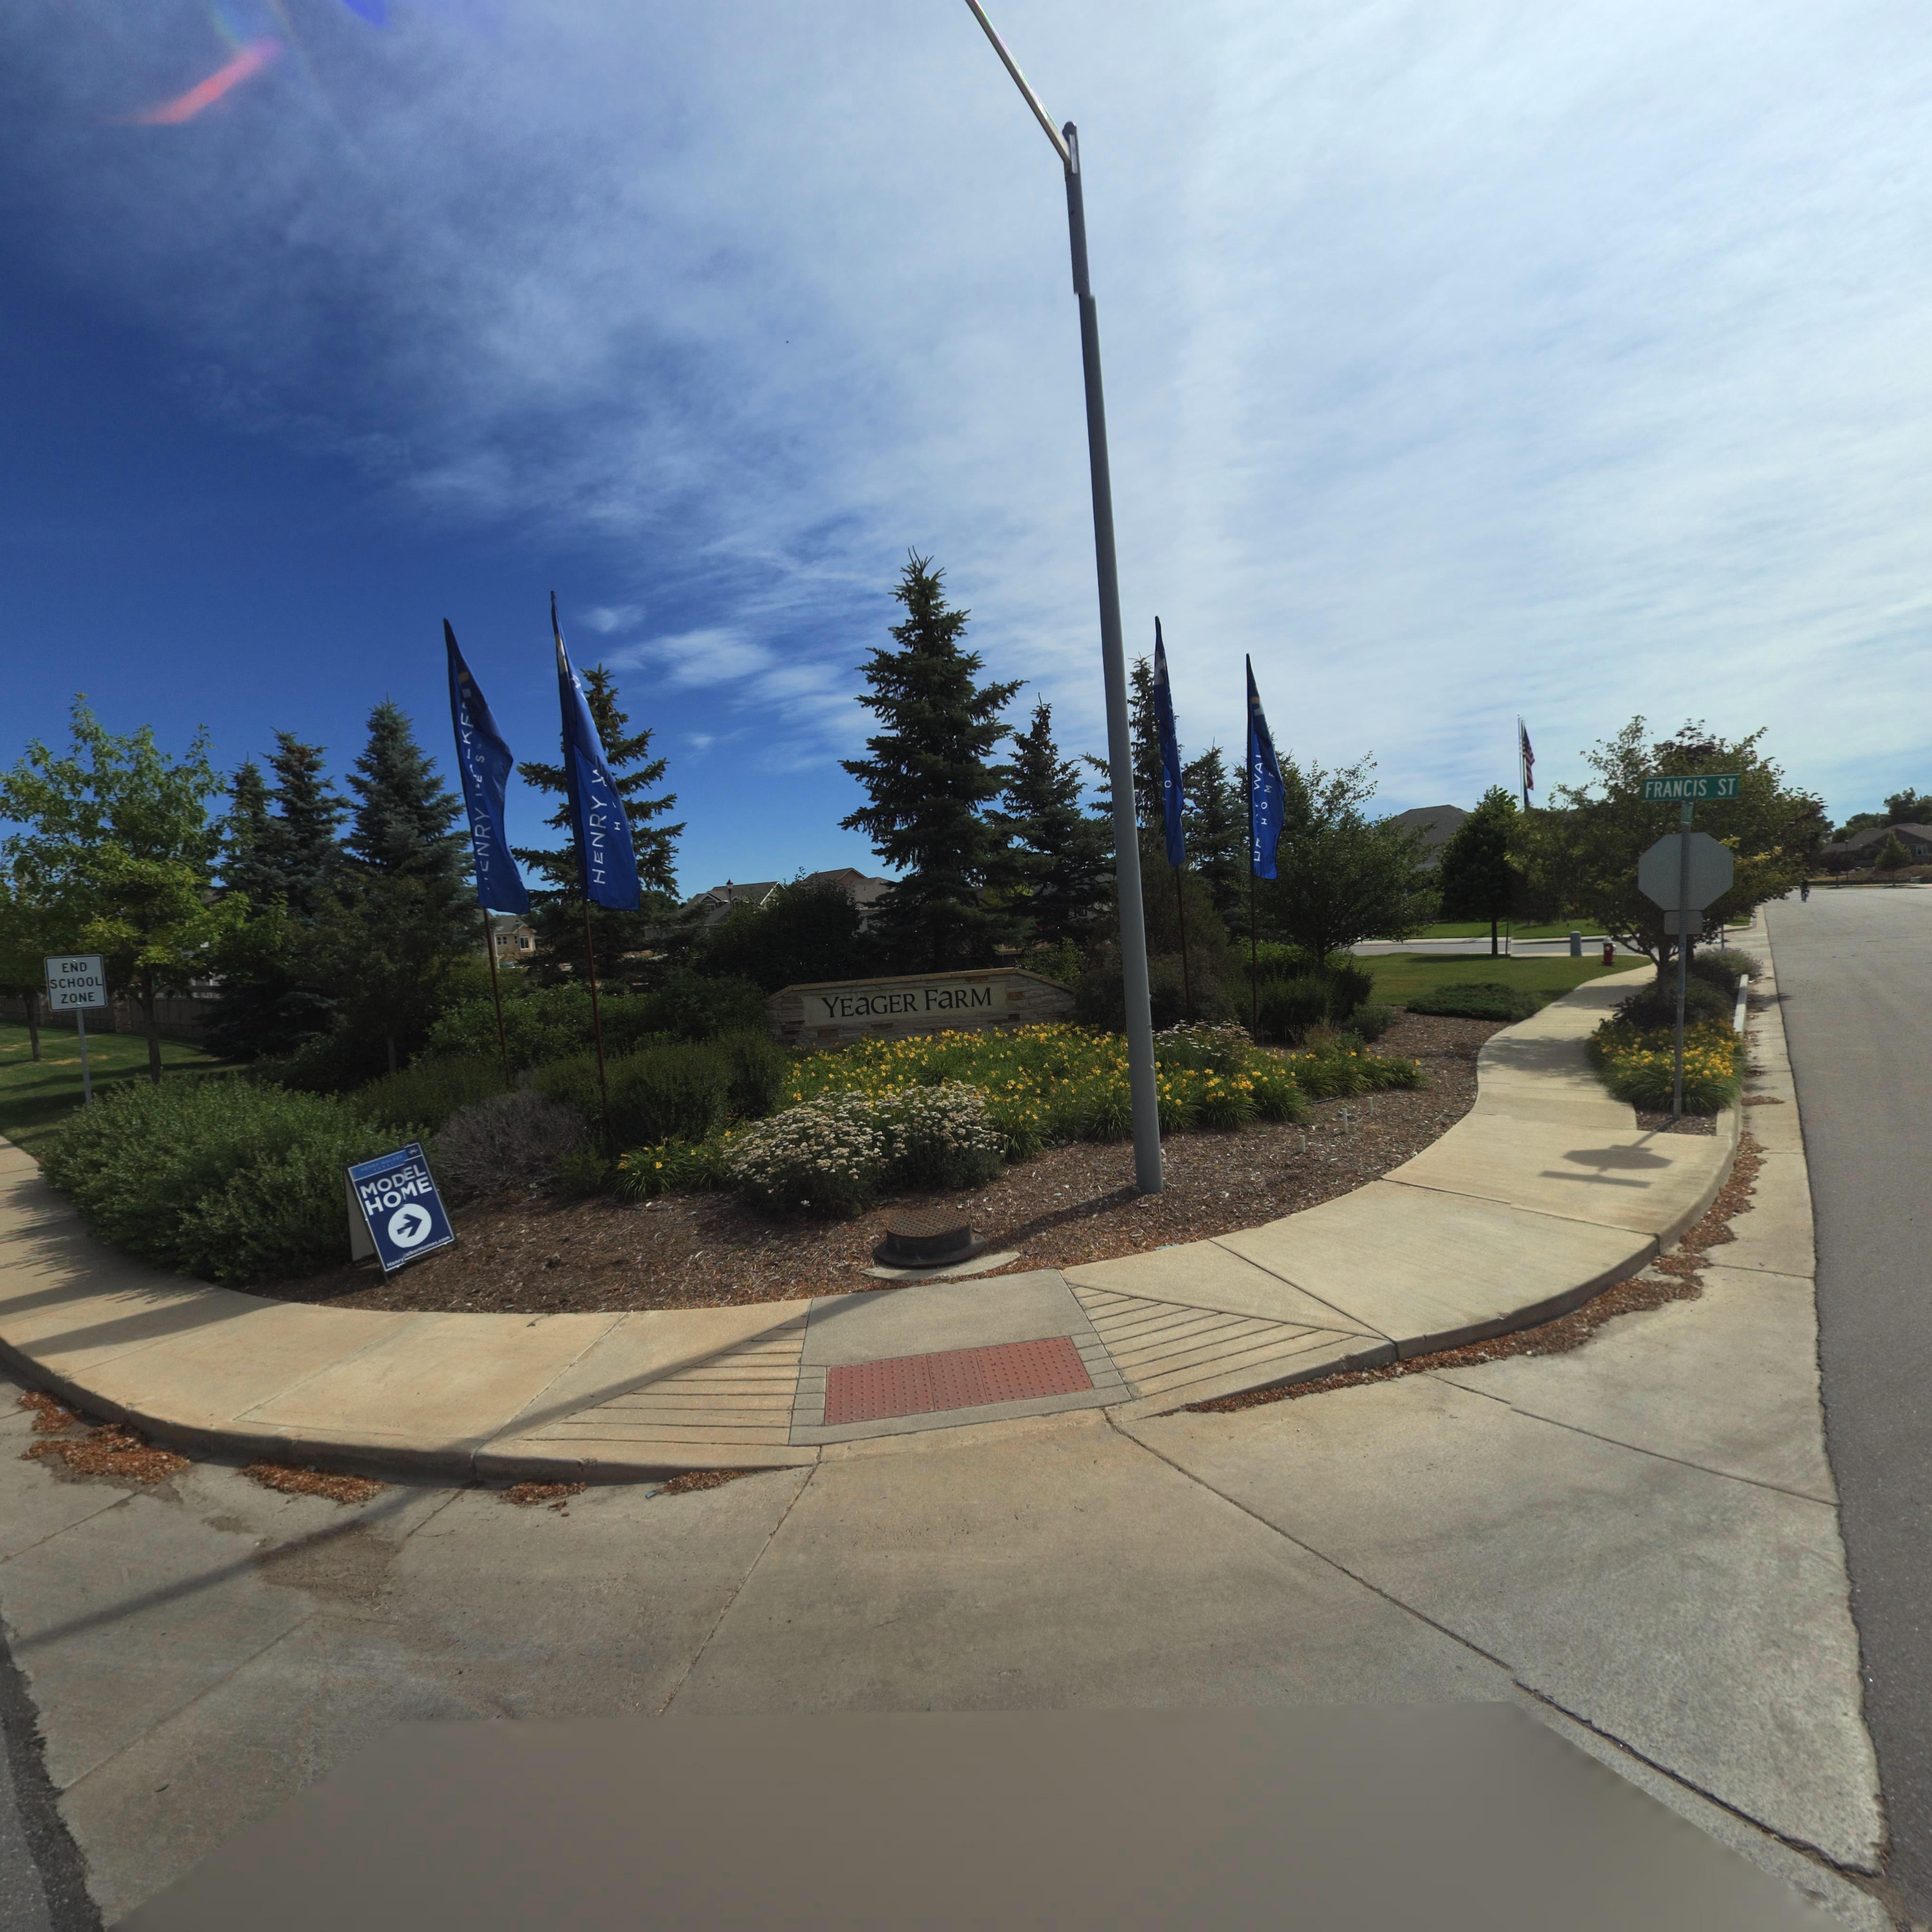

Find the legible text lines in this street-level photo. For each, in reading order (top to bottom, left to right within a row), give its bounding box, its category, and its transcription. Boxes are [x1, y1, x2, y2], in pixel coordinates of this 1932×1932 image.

[1644, 777, 1736, 798] StreetName: FRANCIS ST